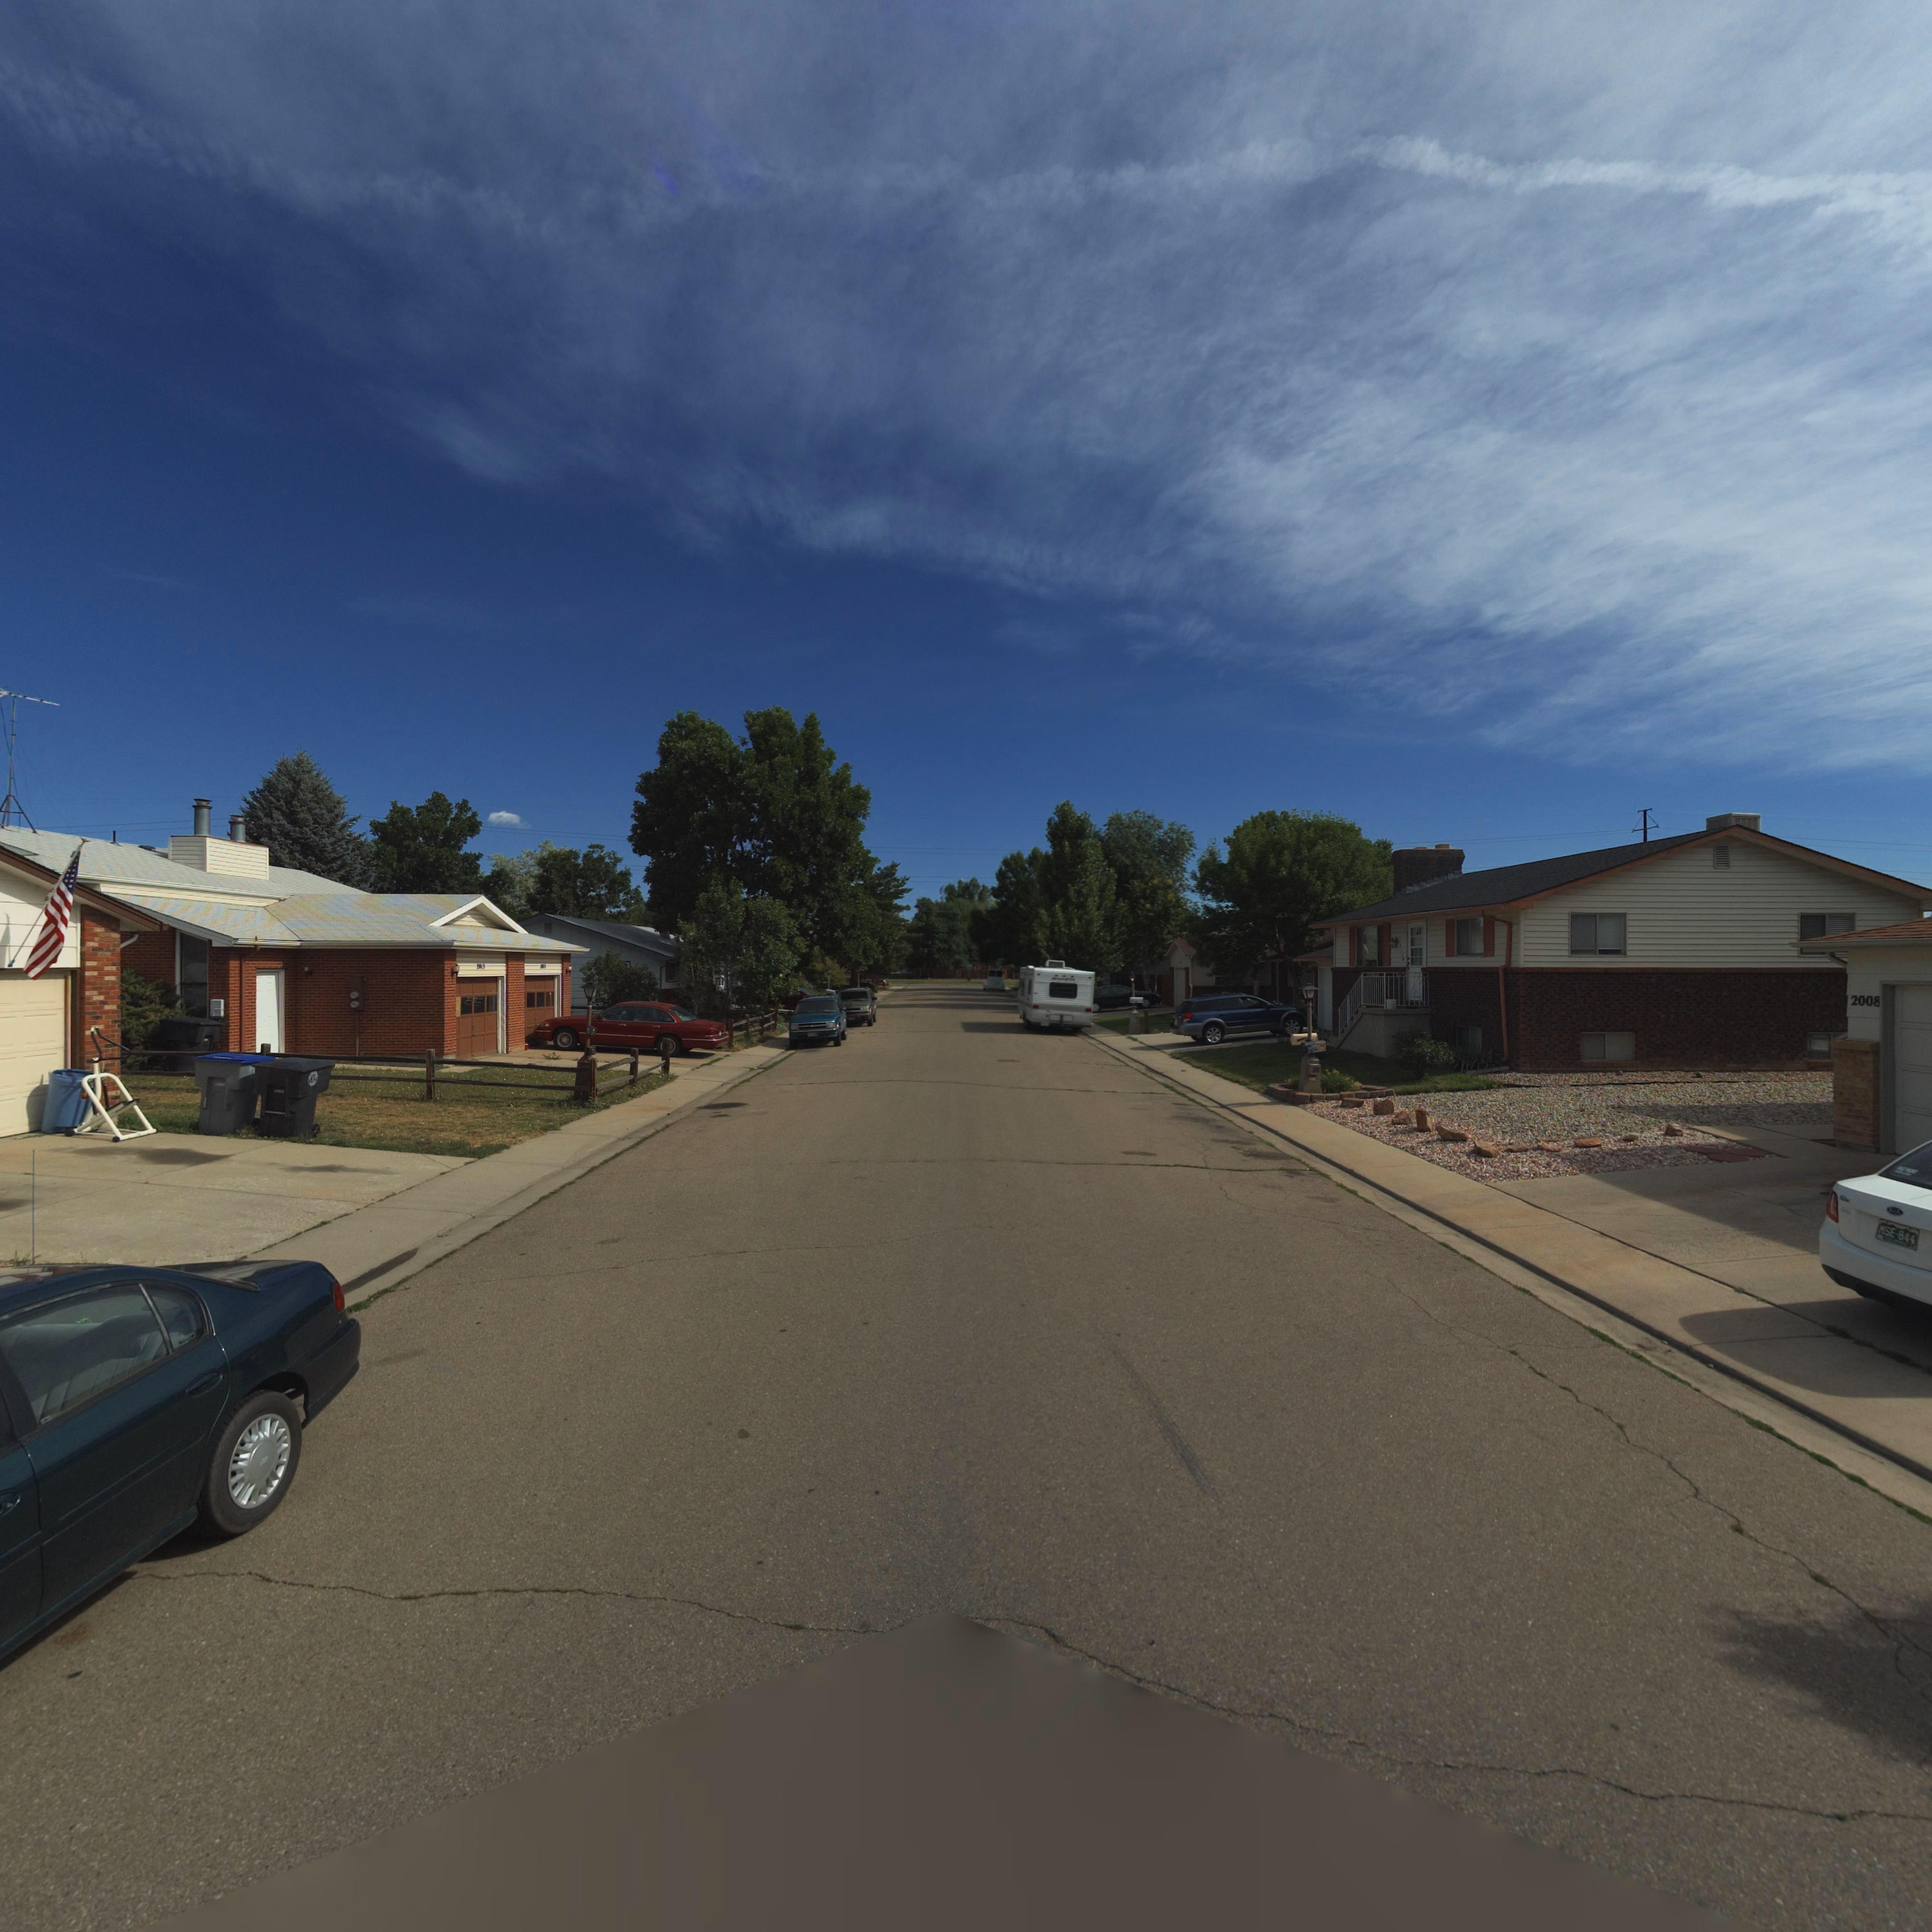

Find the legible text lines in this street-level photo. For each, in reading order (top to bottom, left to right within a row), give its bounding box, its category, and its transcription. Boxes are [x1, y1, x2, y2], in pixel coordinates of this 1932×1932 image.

[1398, 939, 1404, 957] StreetNumber: 20**
[476, 963, 485, 969] StreetNumber: 2013
[540, 963, 547, 968] StreetNumber: 2**5
[1850, 995, 1880, 1007] StreetNumber: 2008